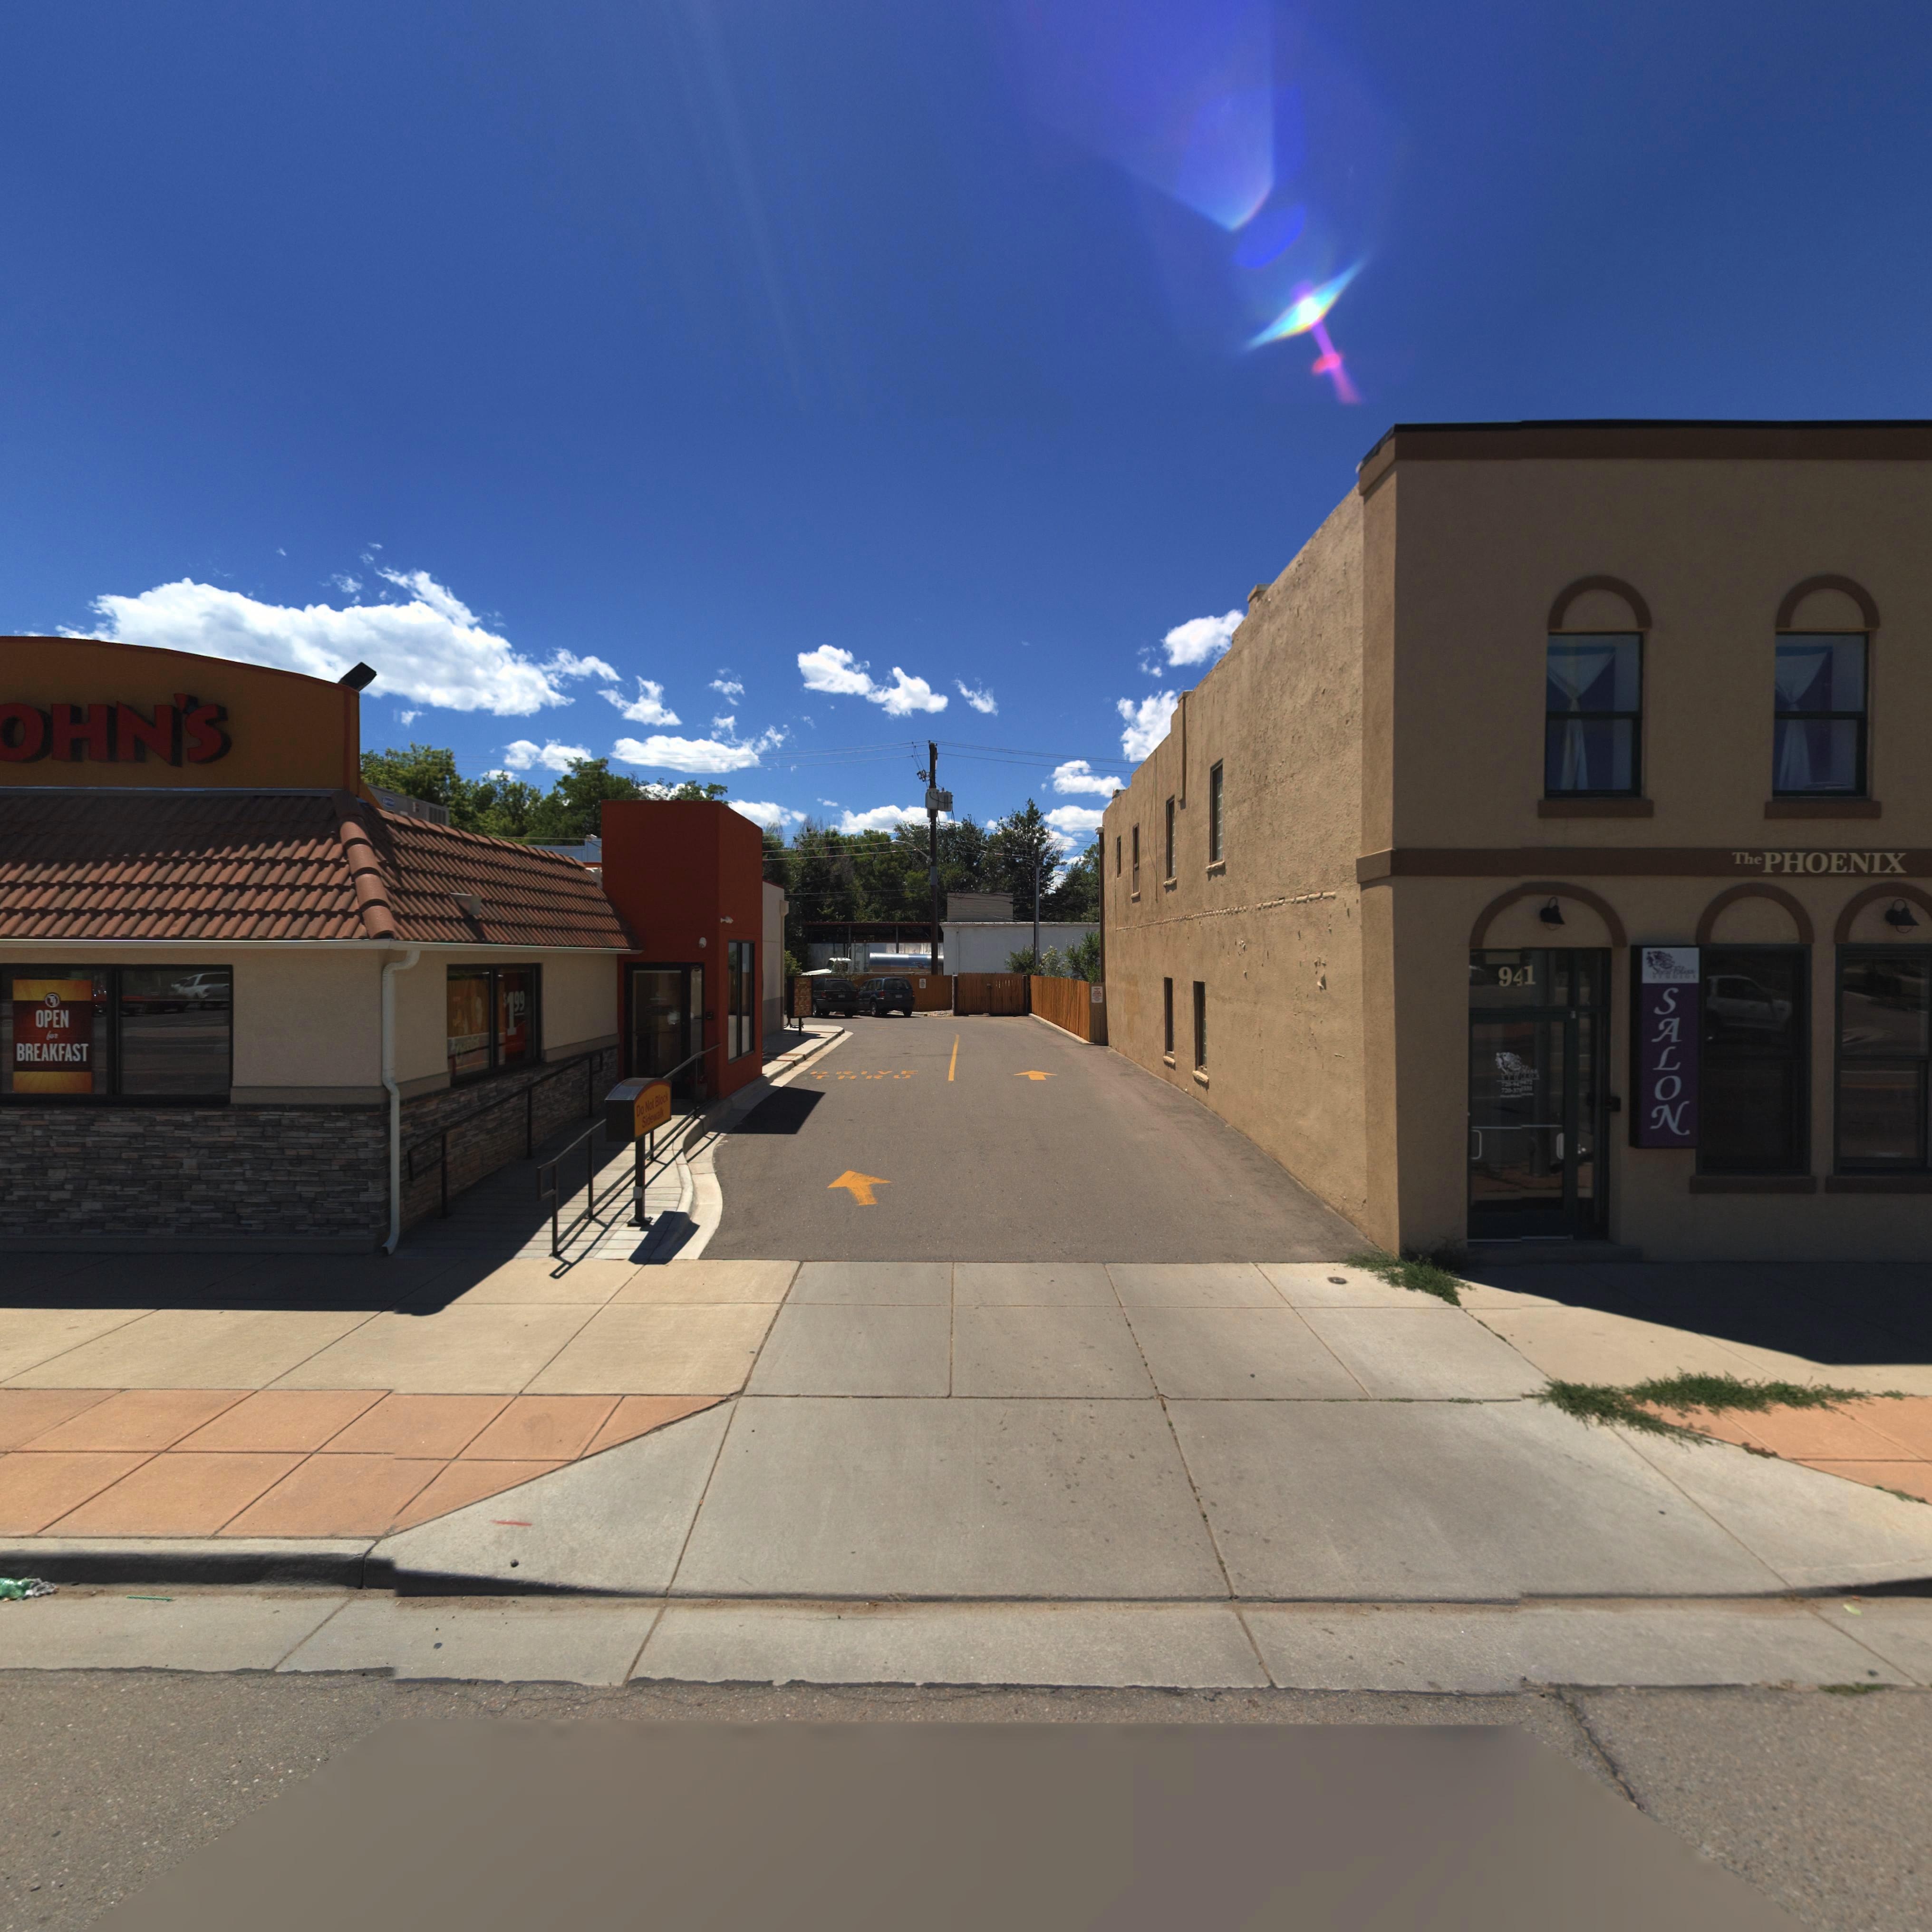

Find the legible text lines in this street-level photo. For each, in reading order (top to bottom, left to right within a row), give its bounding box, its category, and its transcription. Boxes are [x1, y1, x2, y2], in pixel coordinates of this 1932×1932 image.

[50, 693, 233, 768] BusinessName: HN'S
[1652, 964, 1695, 975] BusinessName: Shear Bliss
[1497, 964, 1536, 987] StreetNumber: 941
[1652, 974, 1695, 979] BusinessName: STUDIOS
[1500, 1064, 1539, 1075] BusinessName: Shear Bliss
[1501, 1073, 1539, 1080] BusinessName: STUDIOS